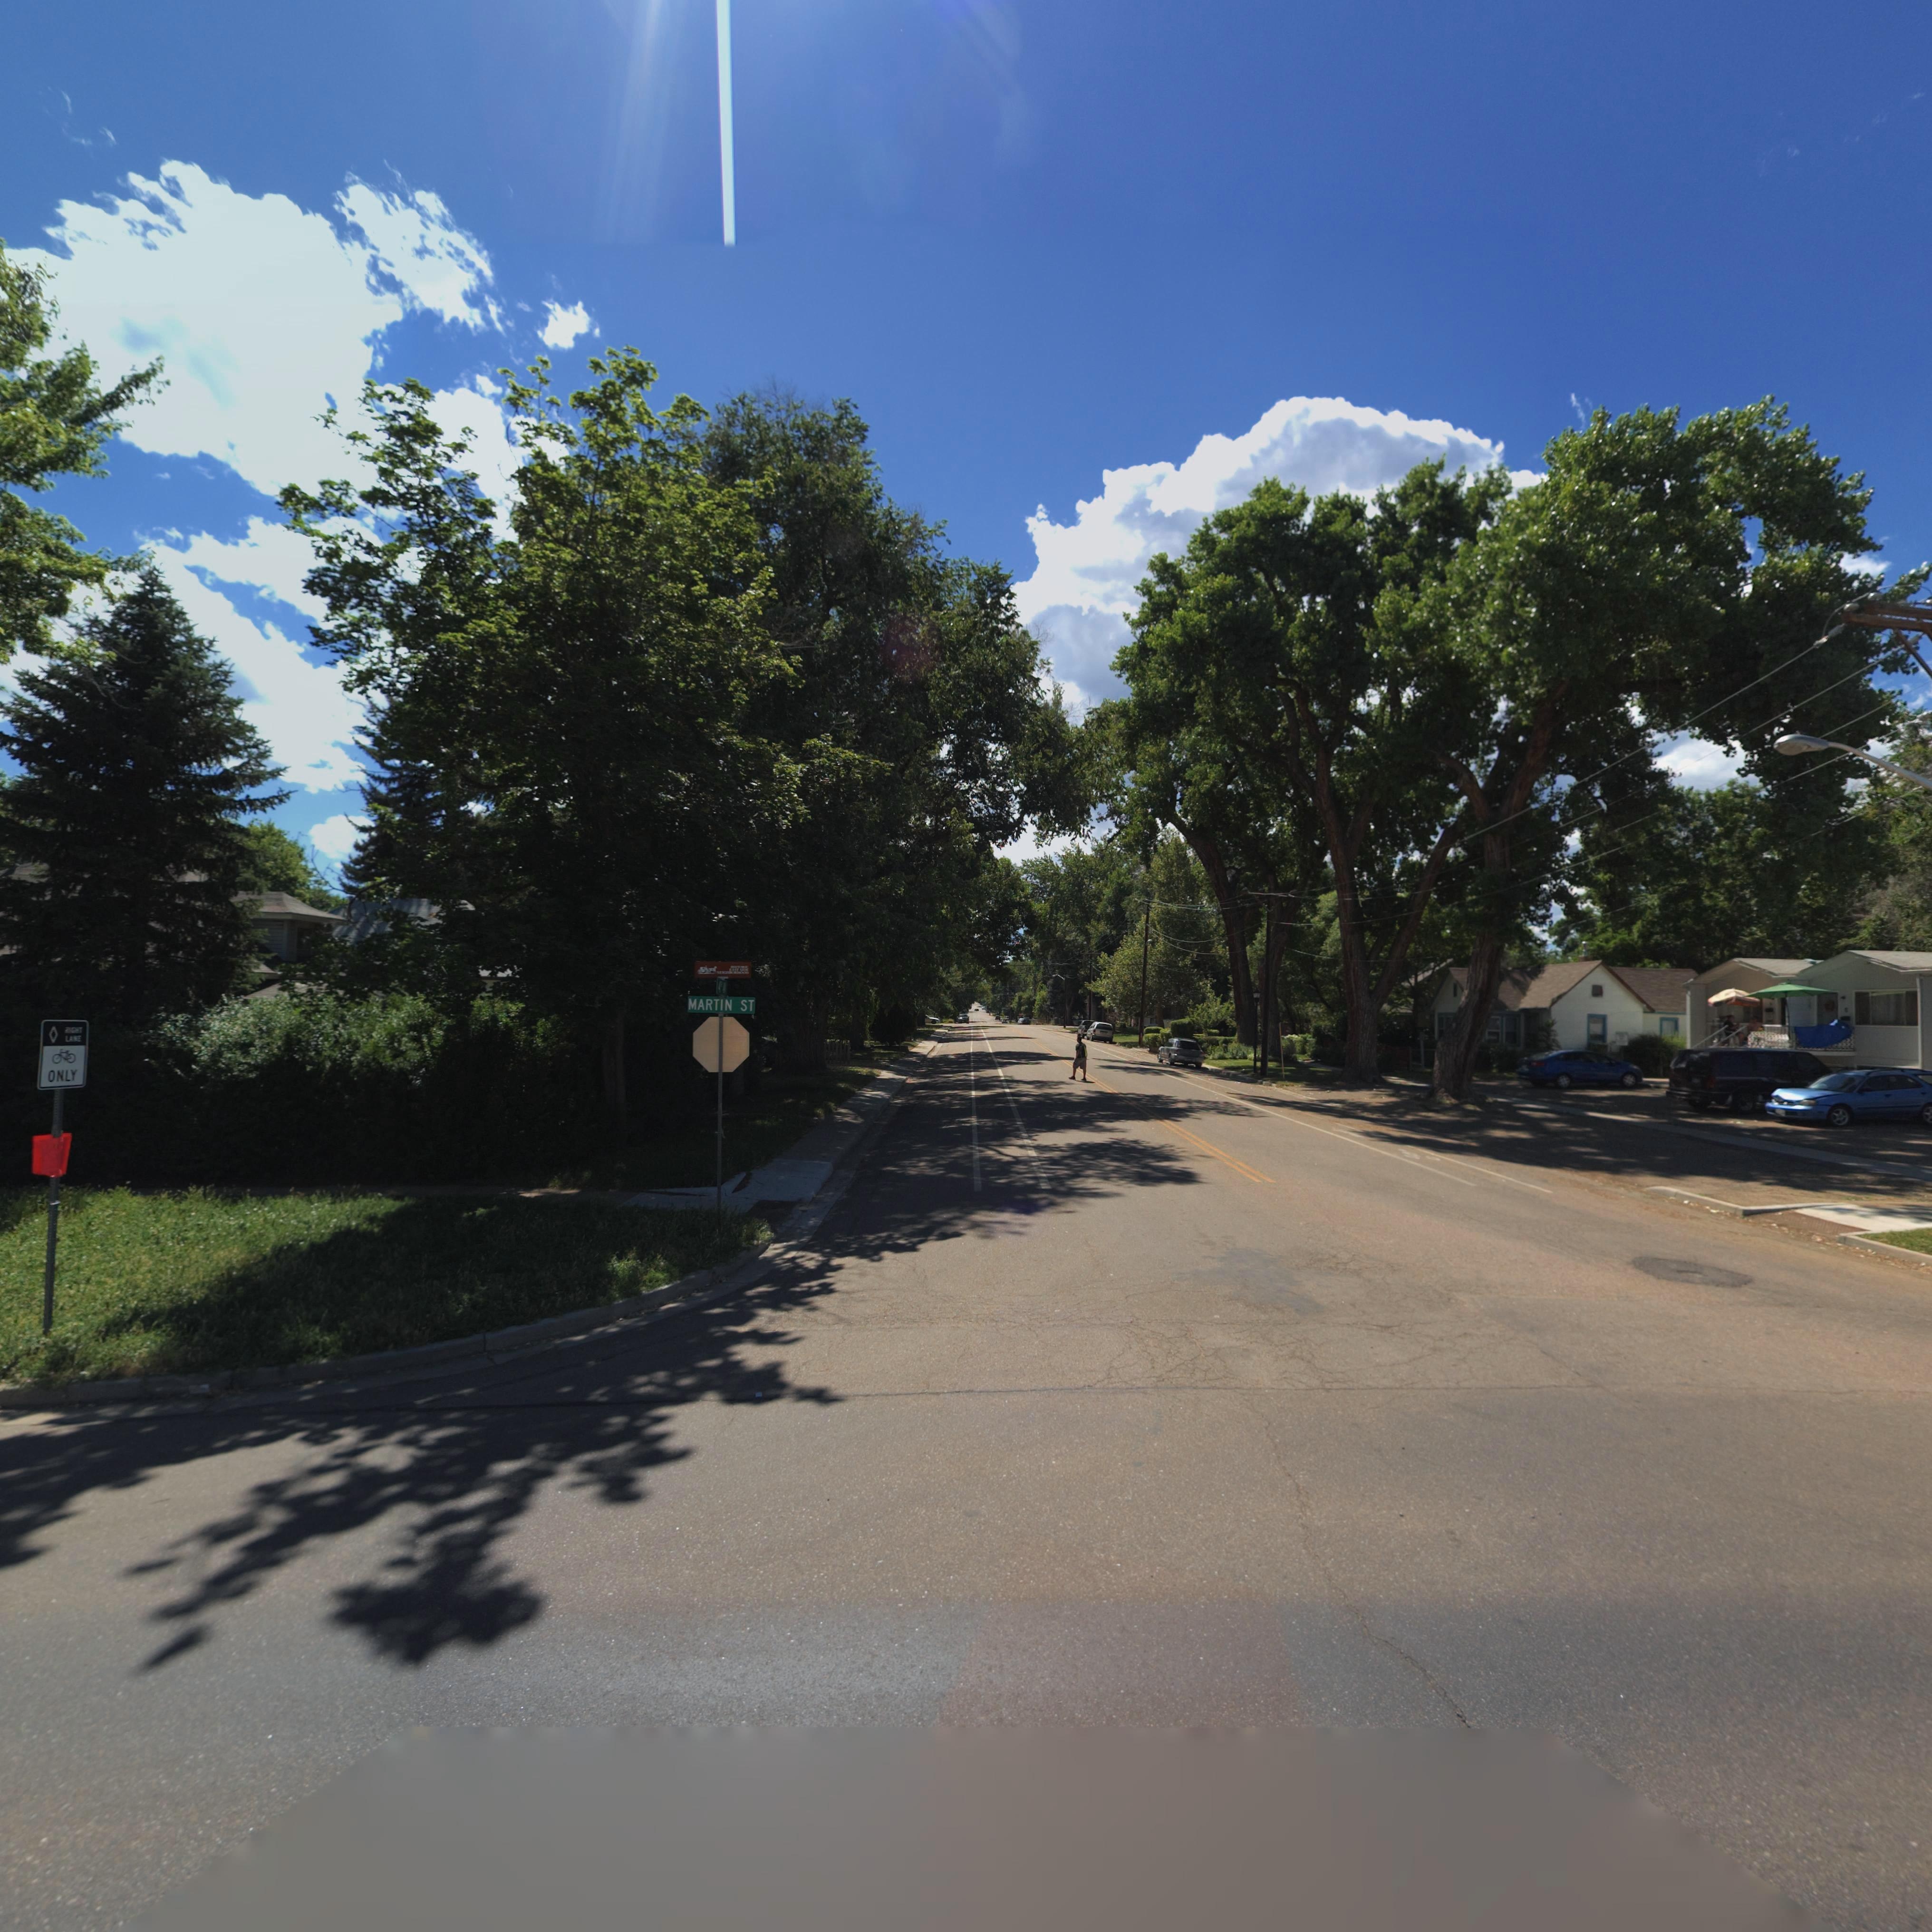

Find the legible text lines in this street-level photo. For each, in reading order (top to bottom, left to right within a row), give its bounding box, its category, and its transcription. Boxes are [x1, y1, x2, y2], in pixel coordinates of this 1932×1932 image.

[717, 981, 723, 992] StreetName: 4TH
[688, 997, 755, 1011] StreetName: MARTIN ST